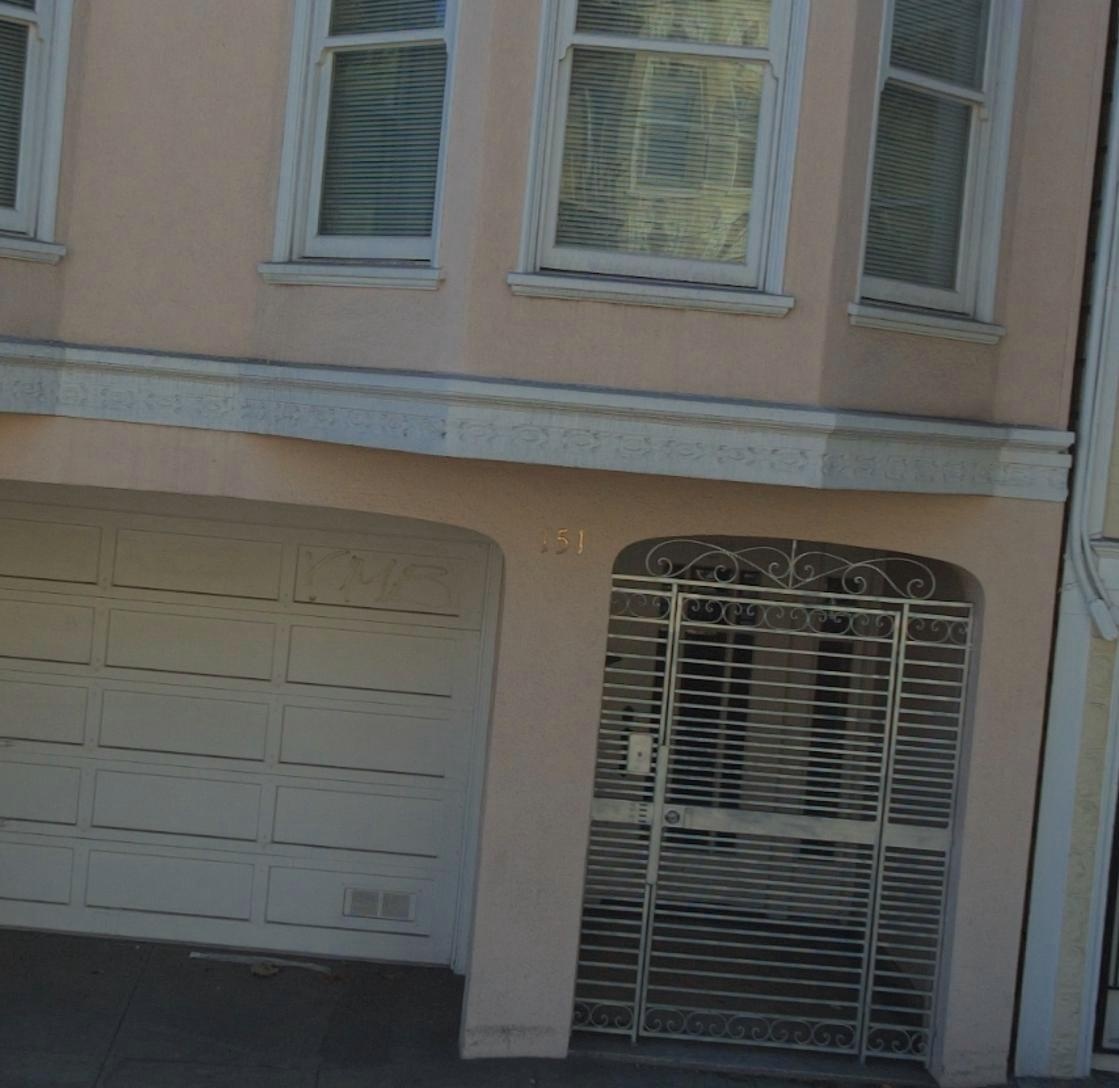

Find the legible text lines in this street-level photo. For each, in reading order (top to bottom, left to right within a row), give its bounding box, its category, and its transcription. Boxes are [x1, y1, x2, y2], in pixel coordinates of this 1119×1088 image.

[538, 525, 586, 558] StreetNumber: 151
[300, 544, 459, 612] None: KMB